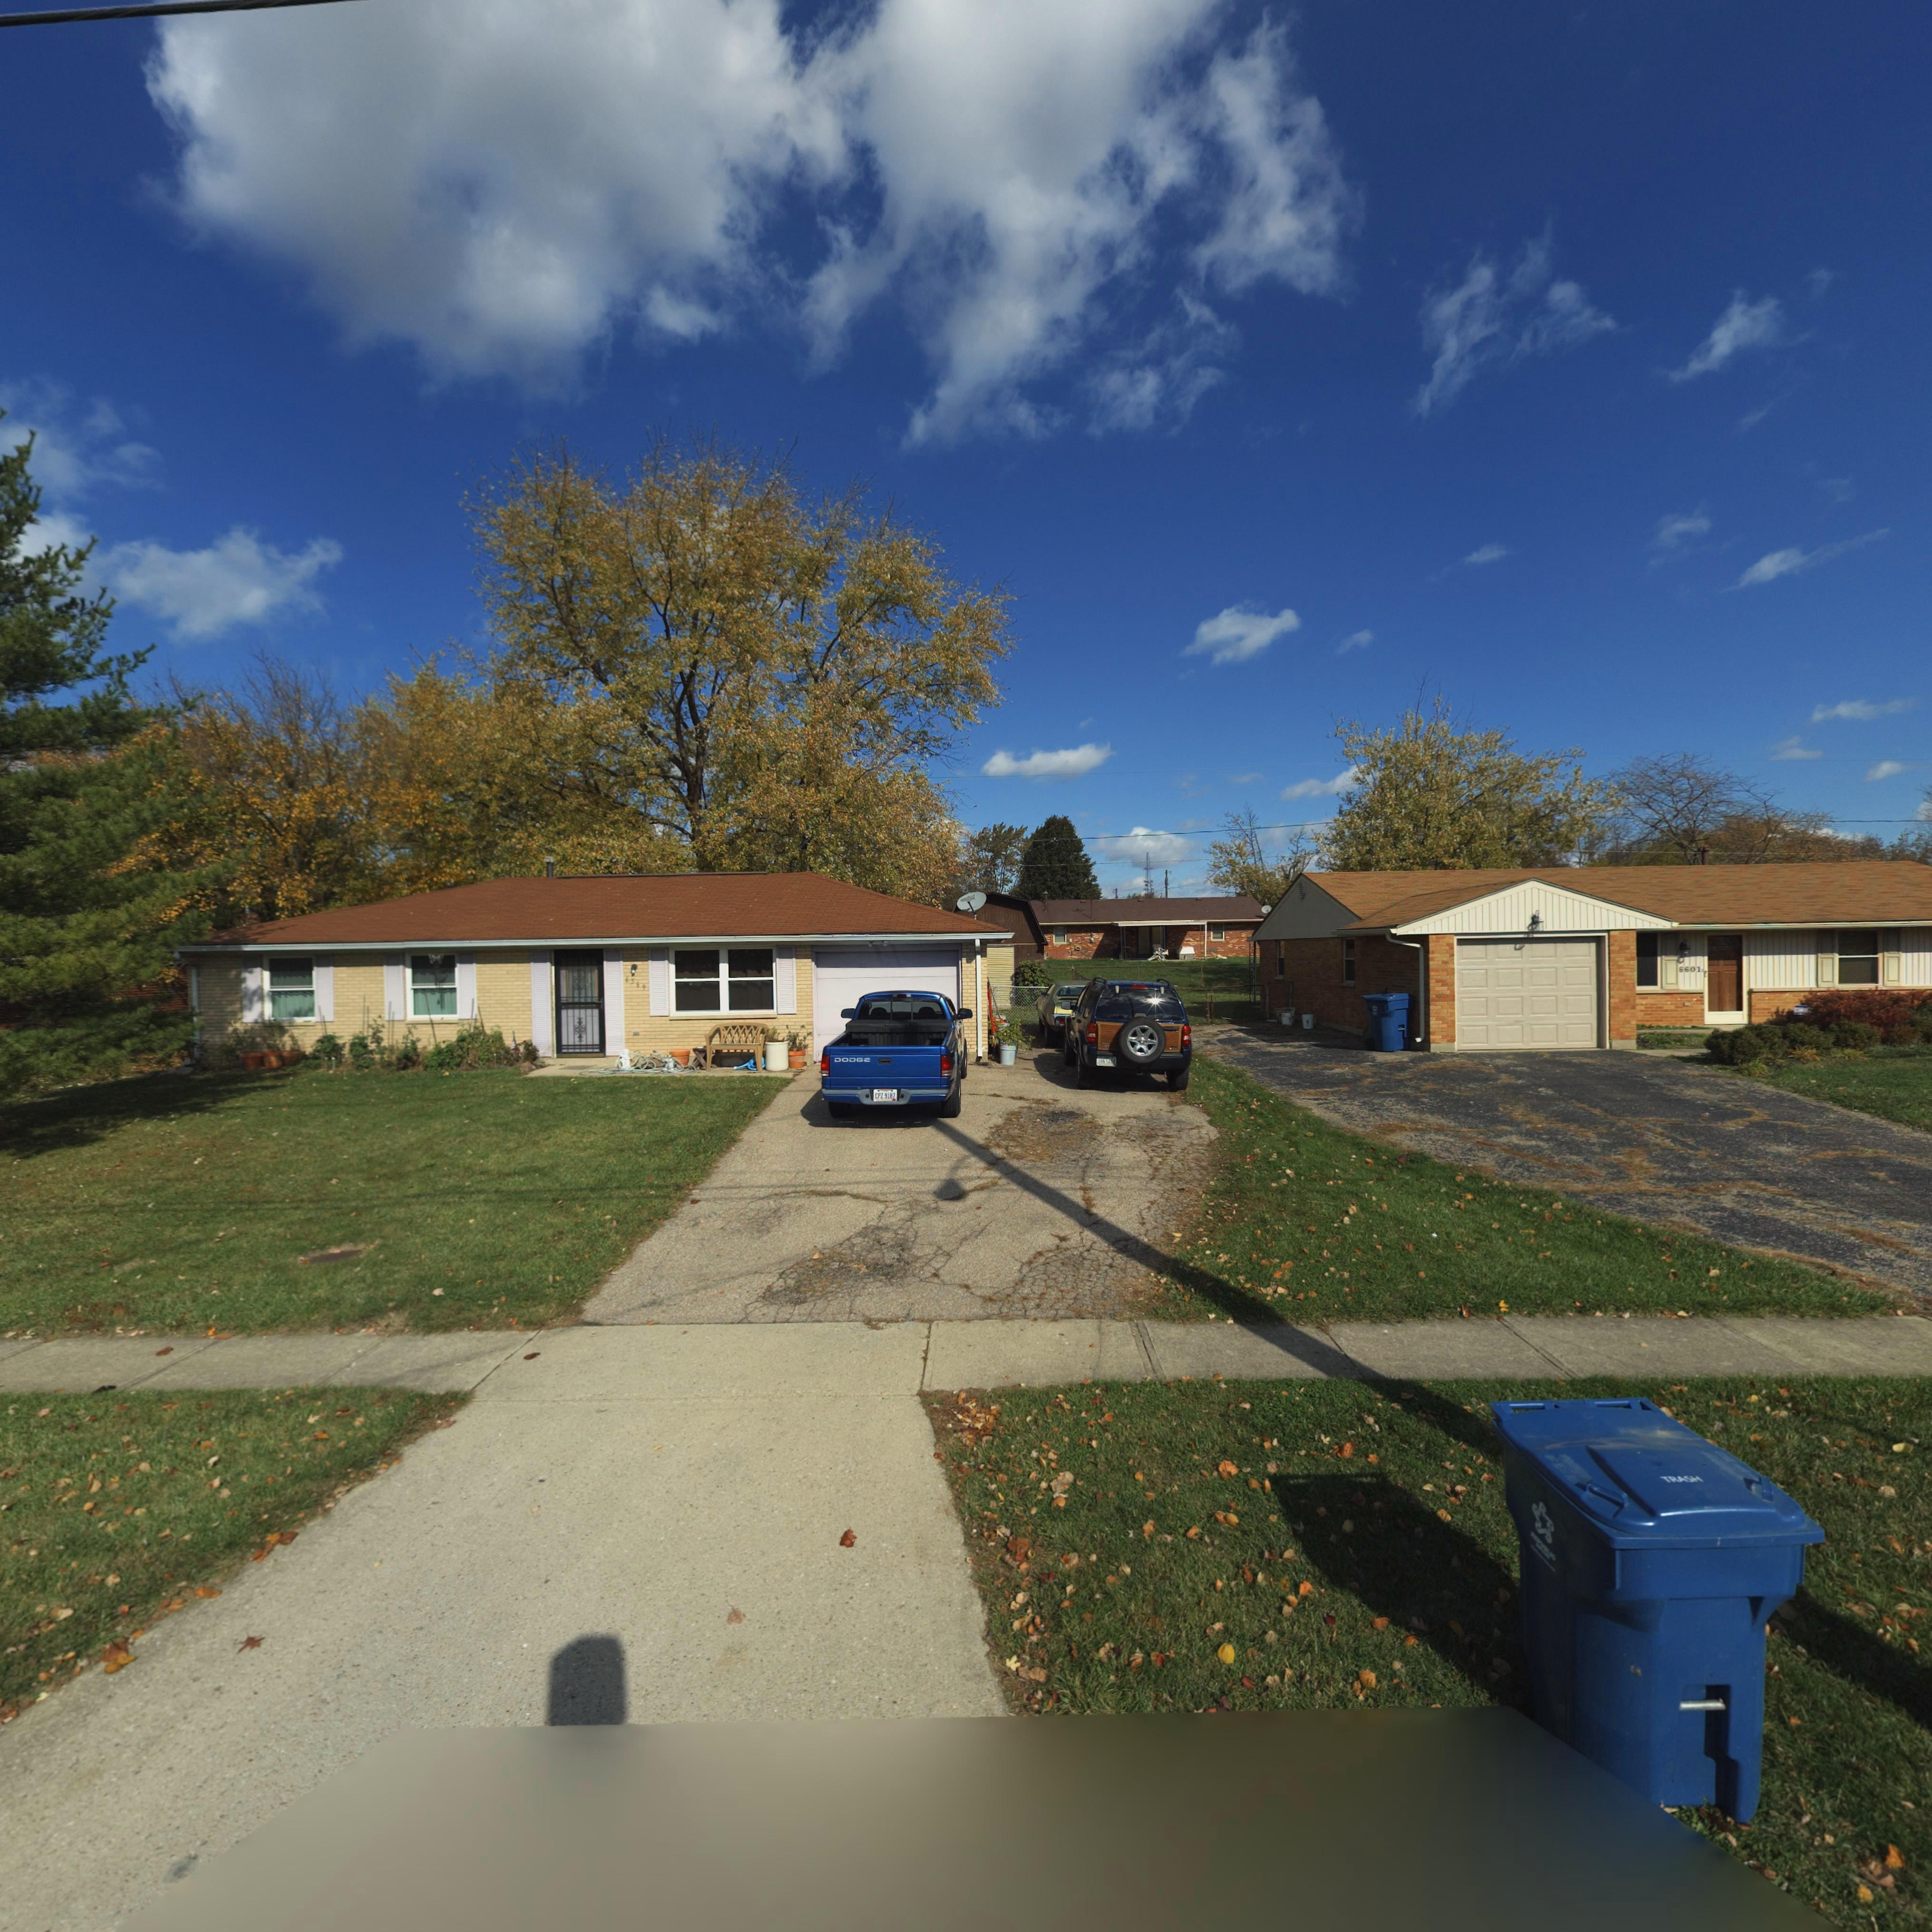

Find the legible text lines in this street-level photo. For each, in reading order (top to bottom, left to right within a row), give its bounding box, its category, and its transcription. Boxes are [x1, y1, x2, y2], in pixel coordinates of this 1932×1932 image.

[1679, 966, 1700, 973] StreetNumber: 6601
[625, 975, 646, 992] StreetNumber: 6569